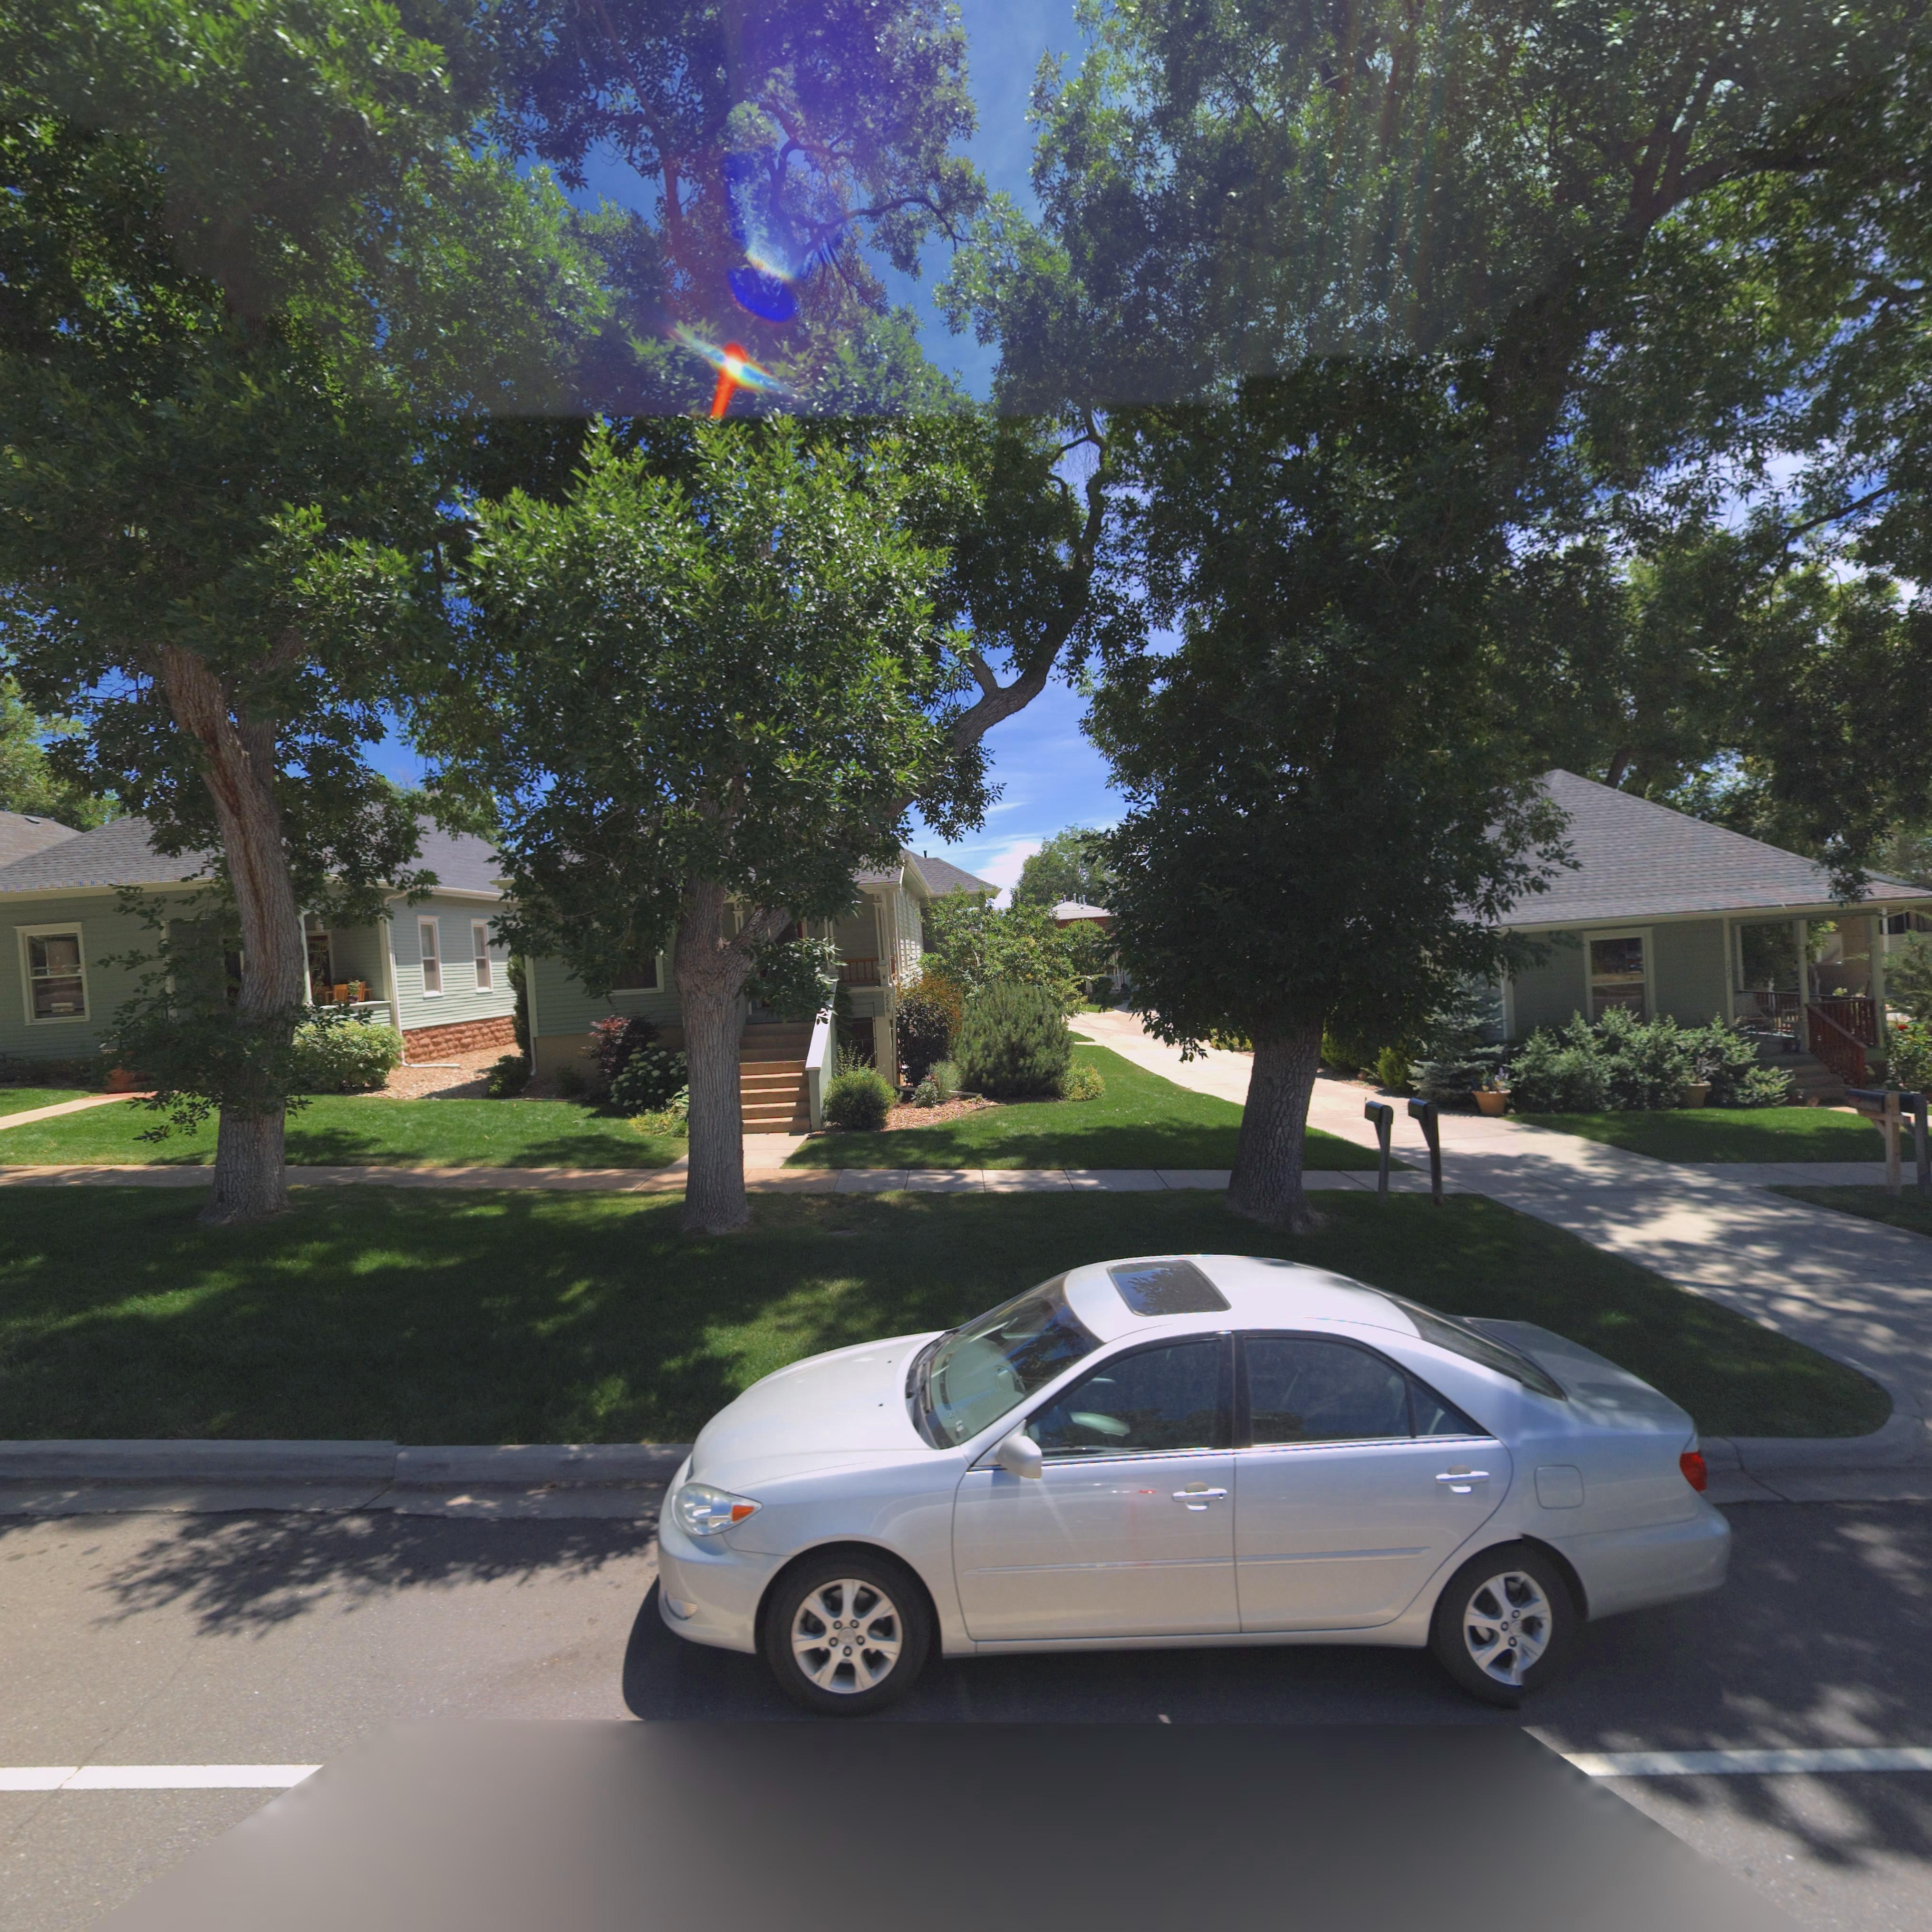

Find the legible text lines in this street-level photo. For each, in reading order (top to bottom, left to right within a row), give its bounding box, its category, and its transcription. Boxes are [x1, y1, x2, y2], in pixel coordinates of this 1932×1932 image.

[1725, 960, 1731, 978] StreetNumber: 222
[885, 994, 890, 1013] StreetNumber: 226